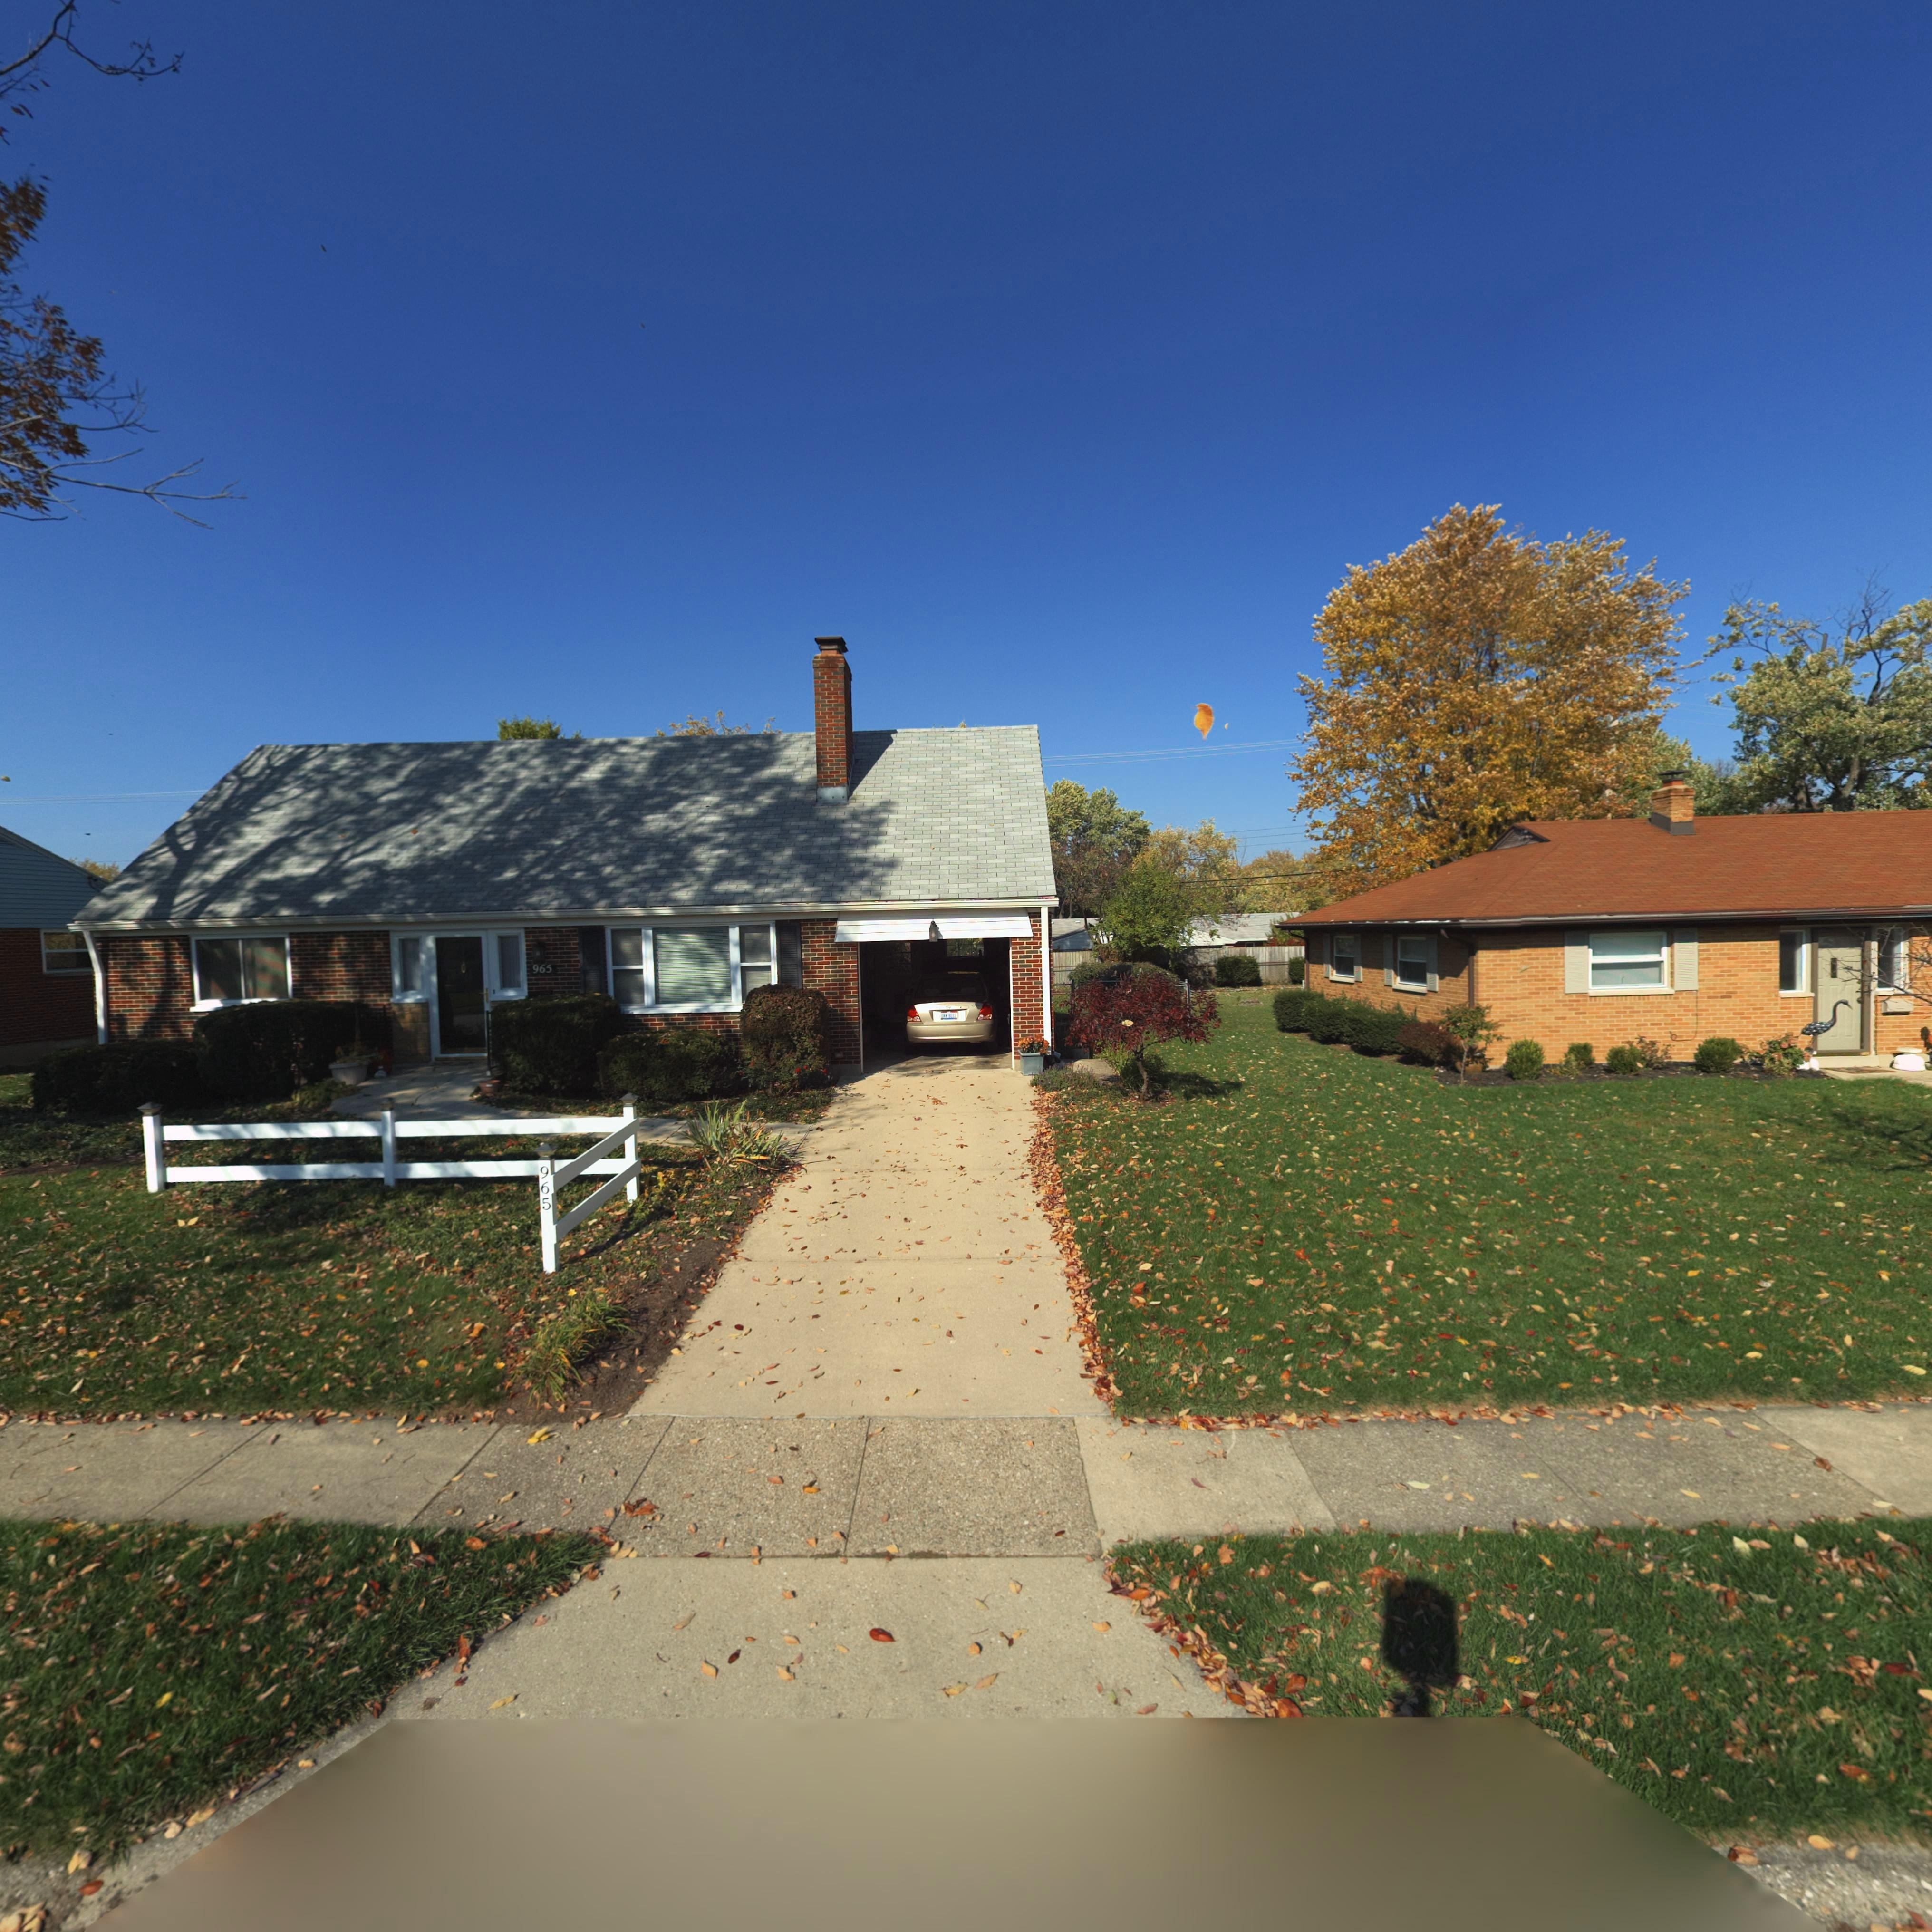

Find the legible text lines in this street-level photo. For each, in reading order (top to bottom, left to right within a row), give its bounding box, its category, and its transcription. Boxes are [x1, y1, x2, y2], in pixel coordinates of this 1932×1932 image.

[531, 964, 552, 974] StreetNumber: 965
[948, 1013, 956, 1018] None: *311
[540, 1166, 551, 1211] StreetNumber: 965